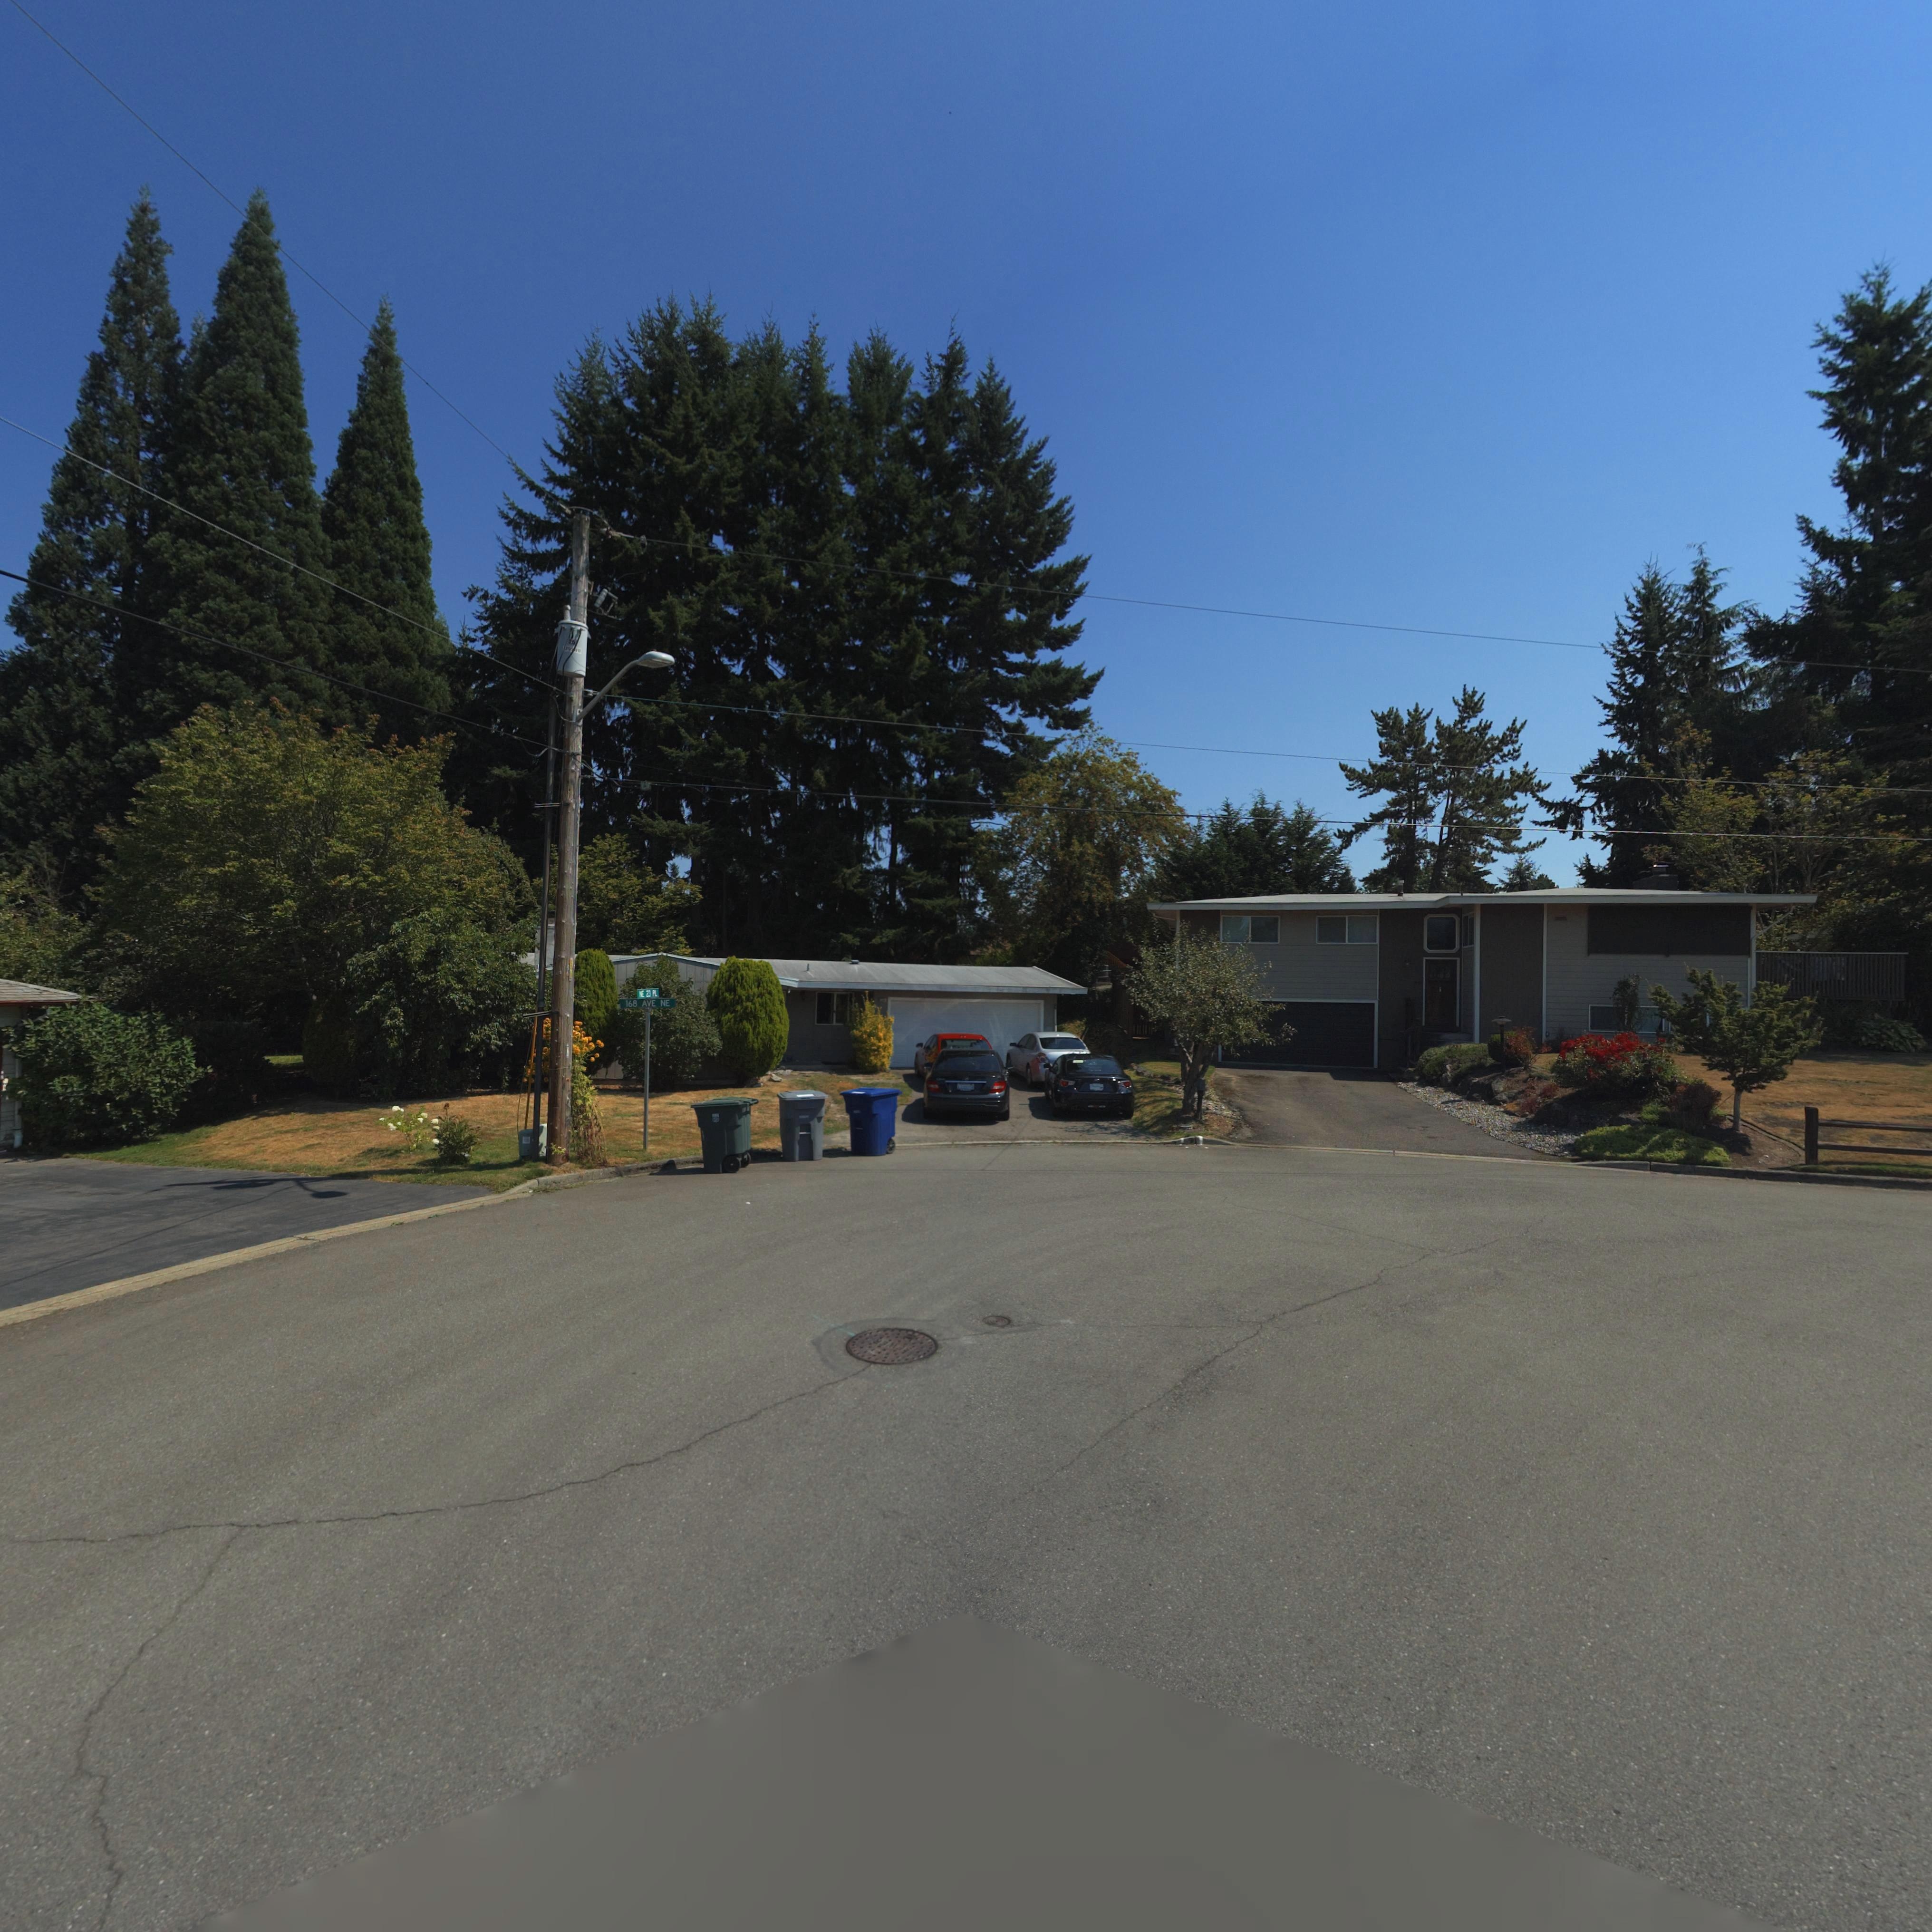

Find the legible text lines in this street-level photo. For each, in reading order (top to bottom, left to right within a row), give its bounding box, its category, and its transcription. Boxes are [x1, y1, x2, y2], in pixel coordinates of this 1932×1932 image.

[639, 989, 657, 997] StreetName: *E 23 PL
[625, 999, 670, 1007] StreetName: 168 AVE NE